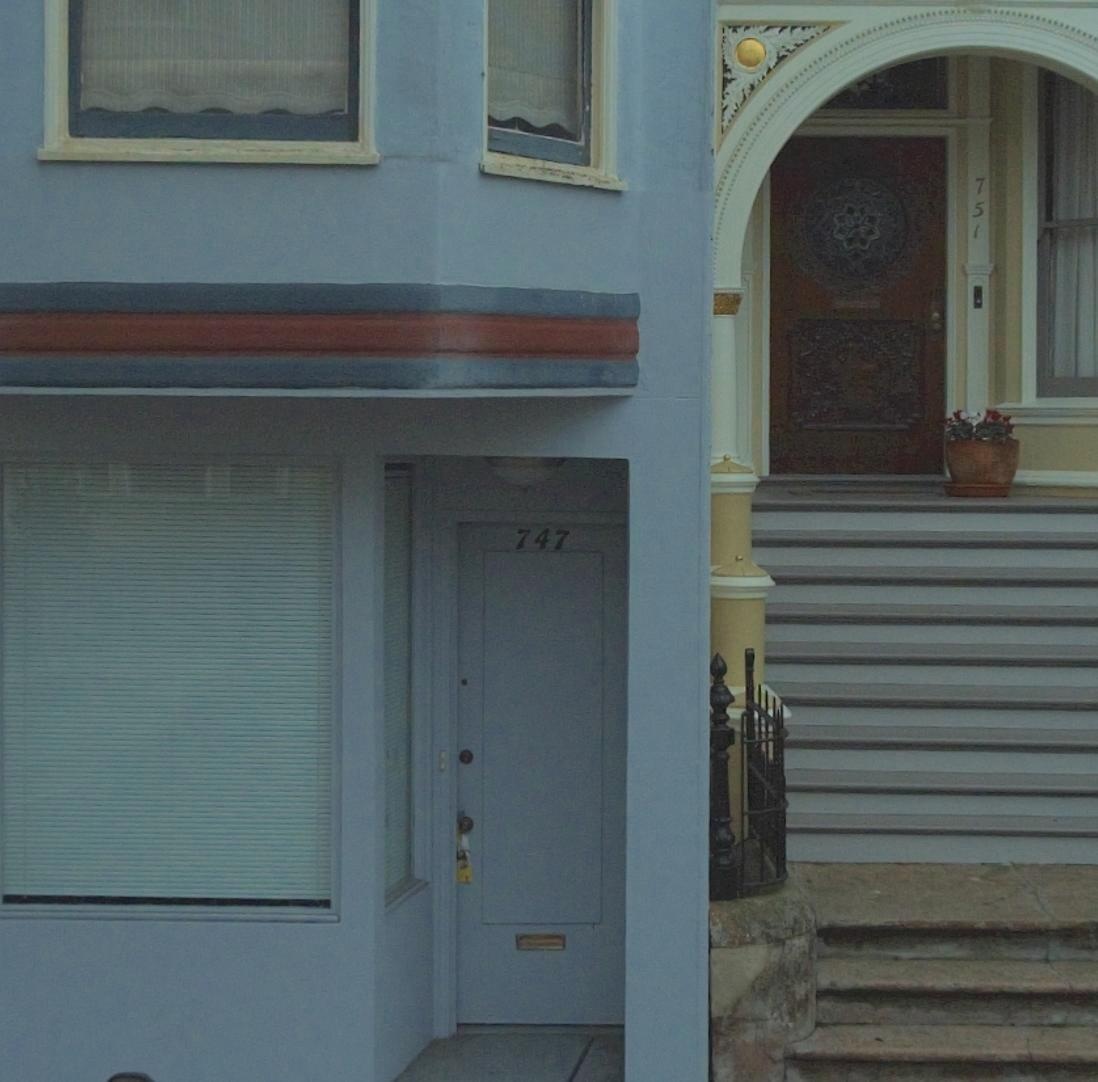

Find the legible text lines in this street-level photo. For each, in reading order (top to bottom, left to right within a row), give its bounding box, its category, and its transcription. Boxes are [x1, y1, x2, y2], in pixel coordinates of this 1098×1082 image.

[969, 174, 988, 241] StreetNumber: 751
[513, 526, 572, 552] StreetNumber: 747